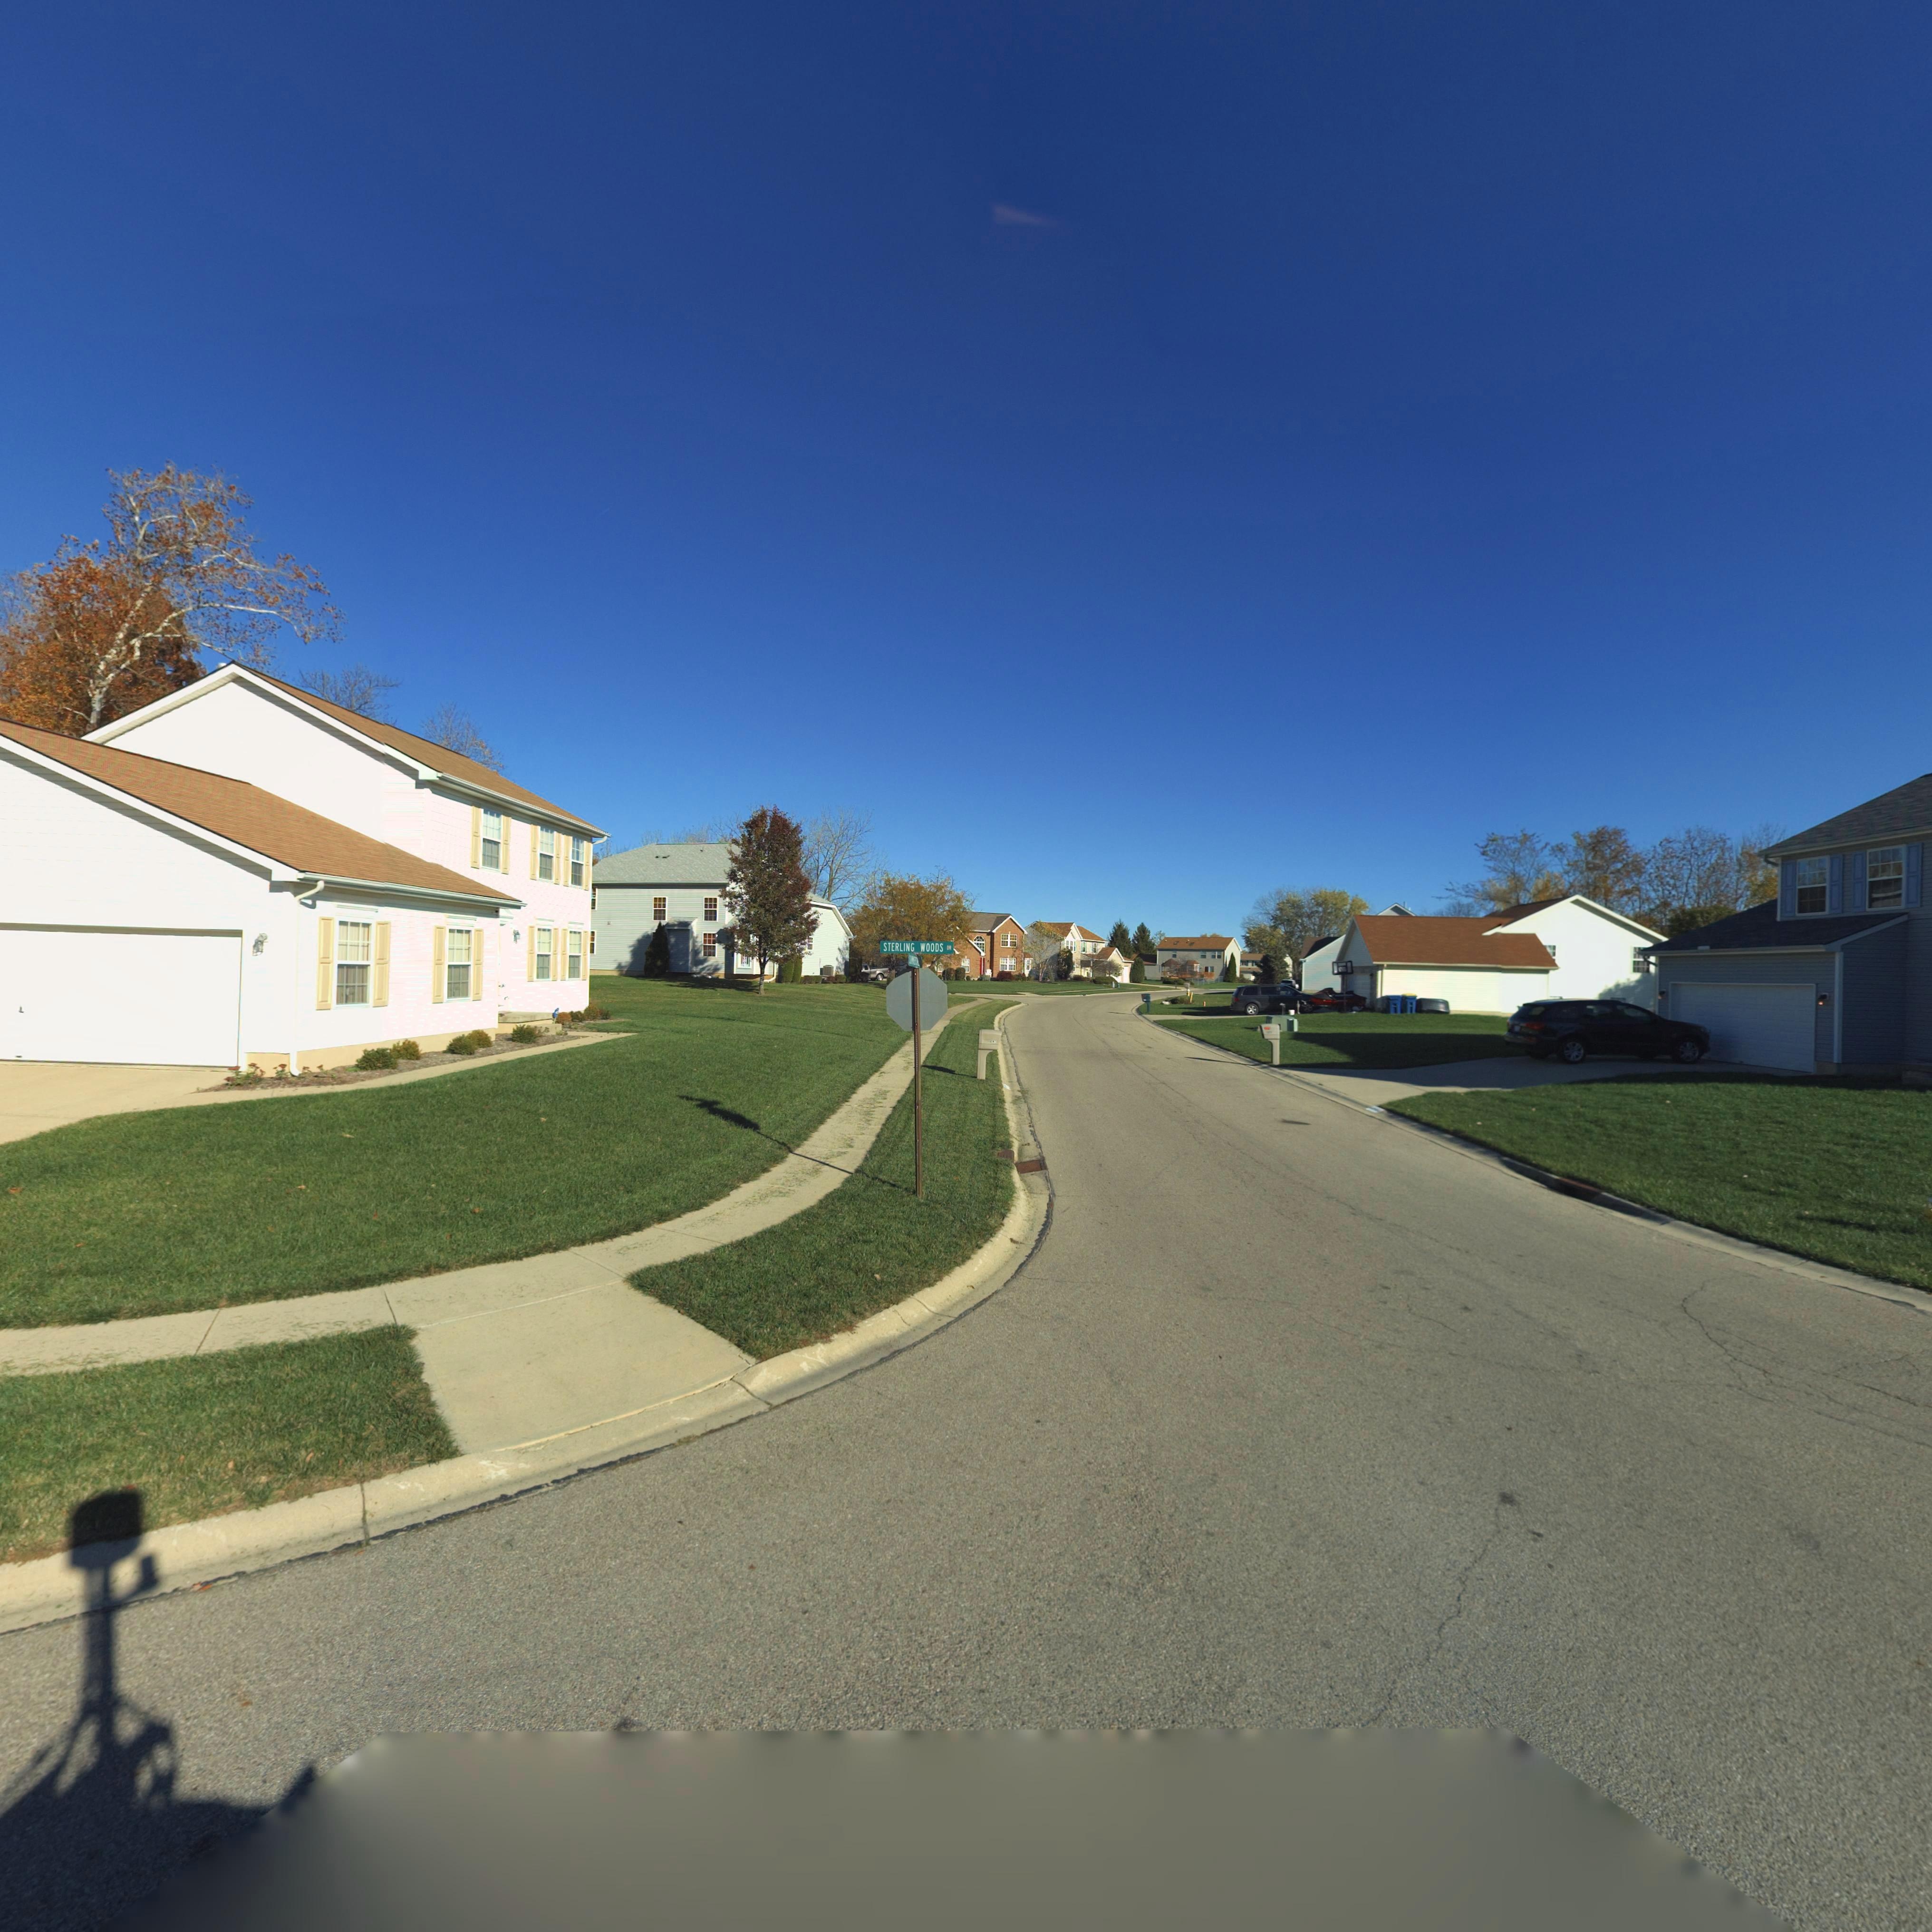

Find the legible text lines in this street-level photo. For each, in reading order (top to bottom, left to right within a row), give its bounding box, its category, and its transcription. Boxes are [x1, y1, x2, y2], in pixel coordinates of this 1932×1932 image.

[883, 942, 944, 953] StreetName: STERLING WOODS
[989, 1040, 995, 1043] StreetNumber: 474